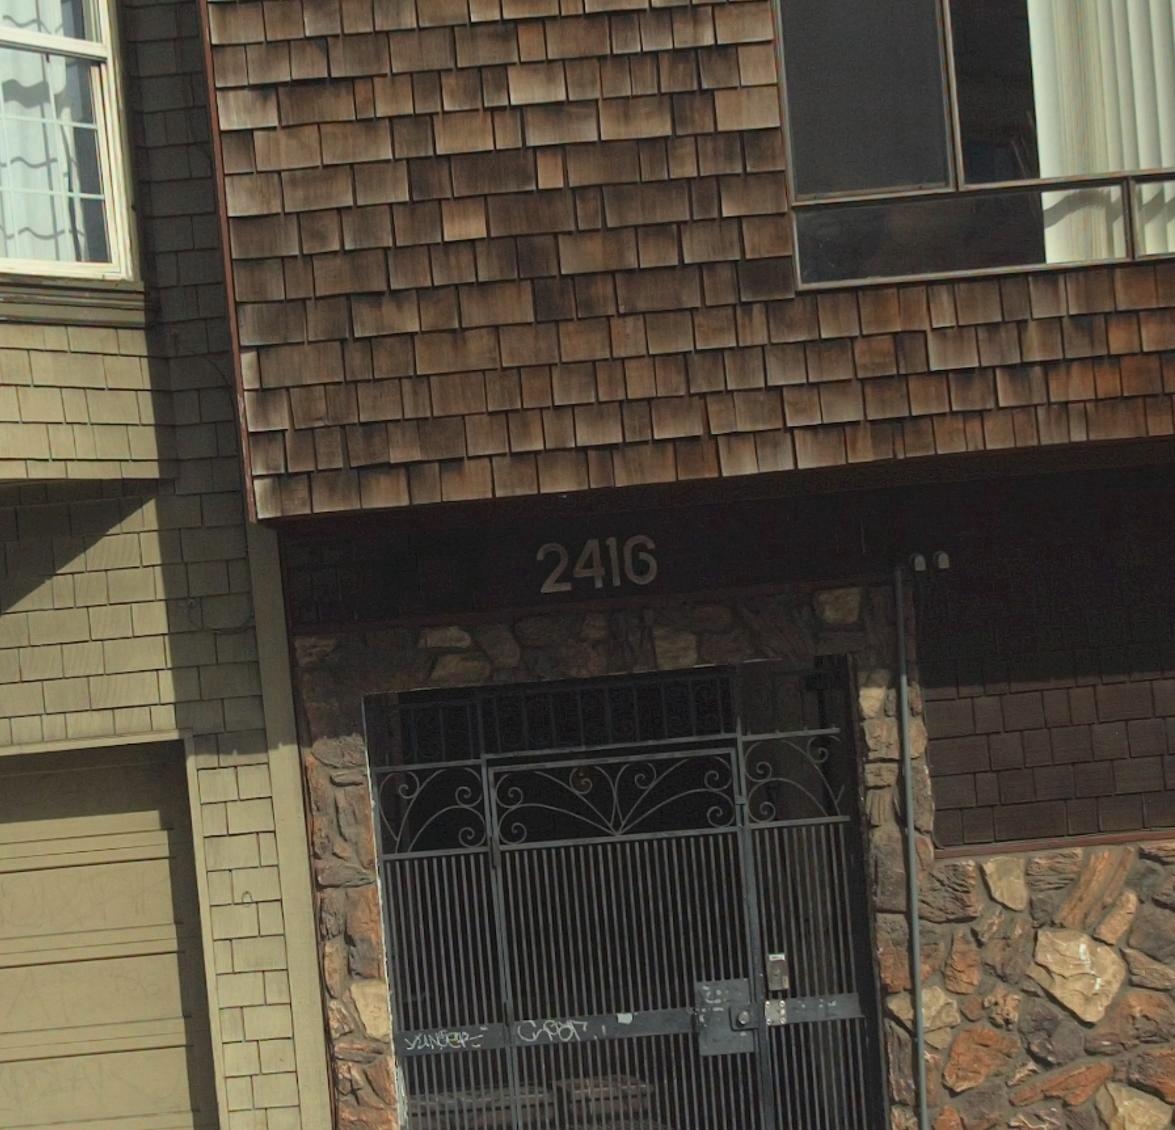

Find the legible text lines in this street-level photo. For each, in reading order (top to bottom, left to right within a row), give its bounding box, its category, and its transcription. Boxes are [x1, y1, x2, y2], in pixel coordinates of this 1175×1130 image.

[531, 530, 661, 597] StreetNumber: 2416